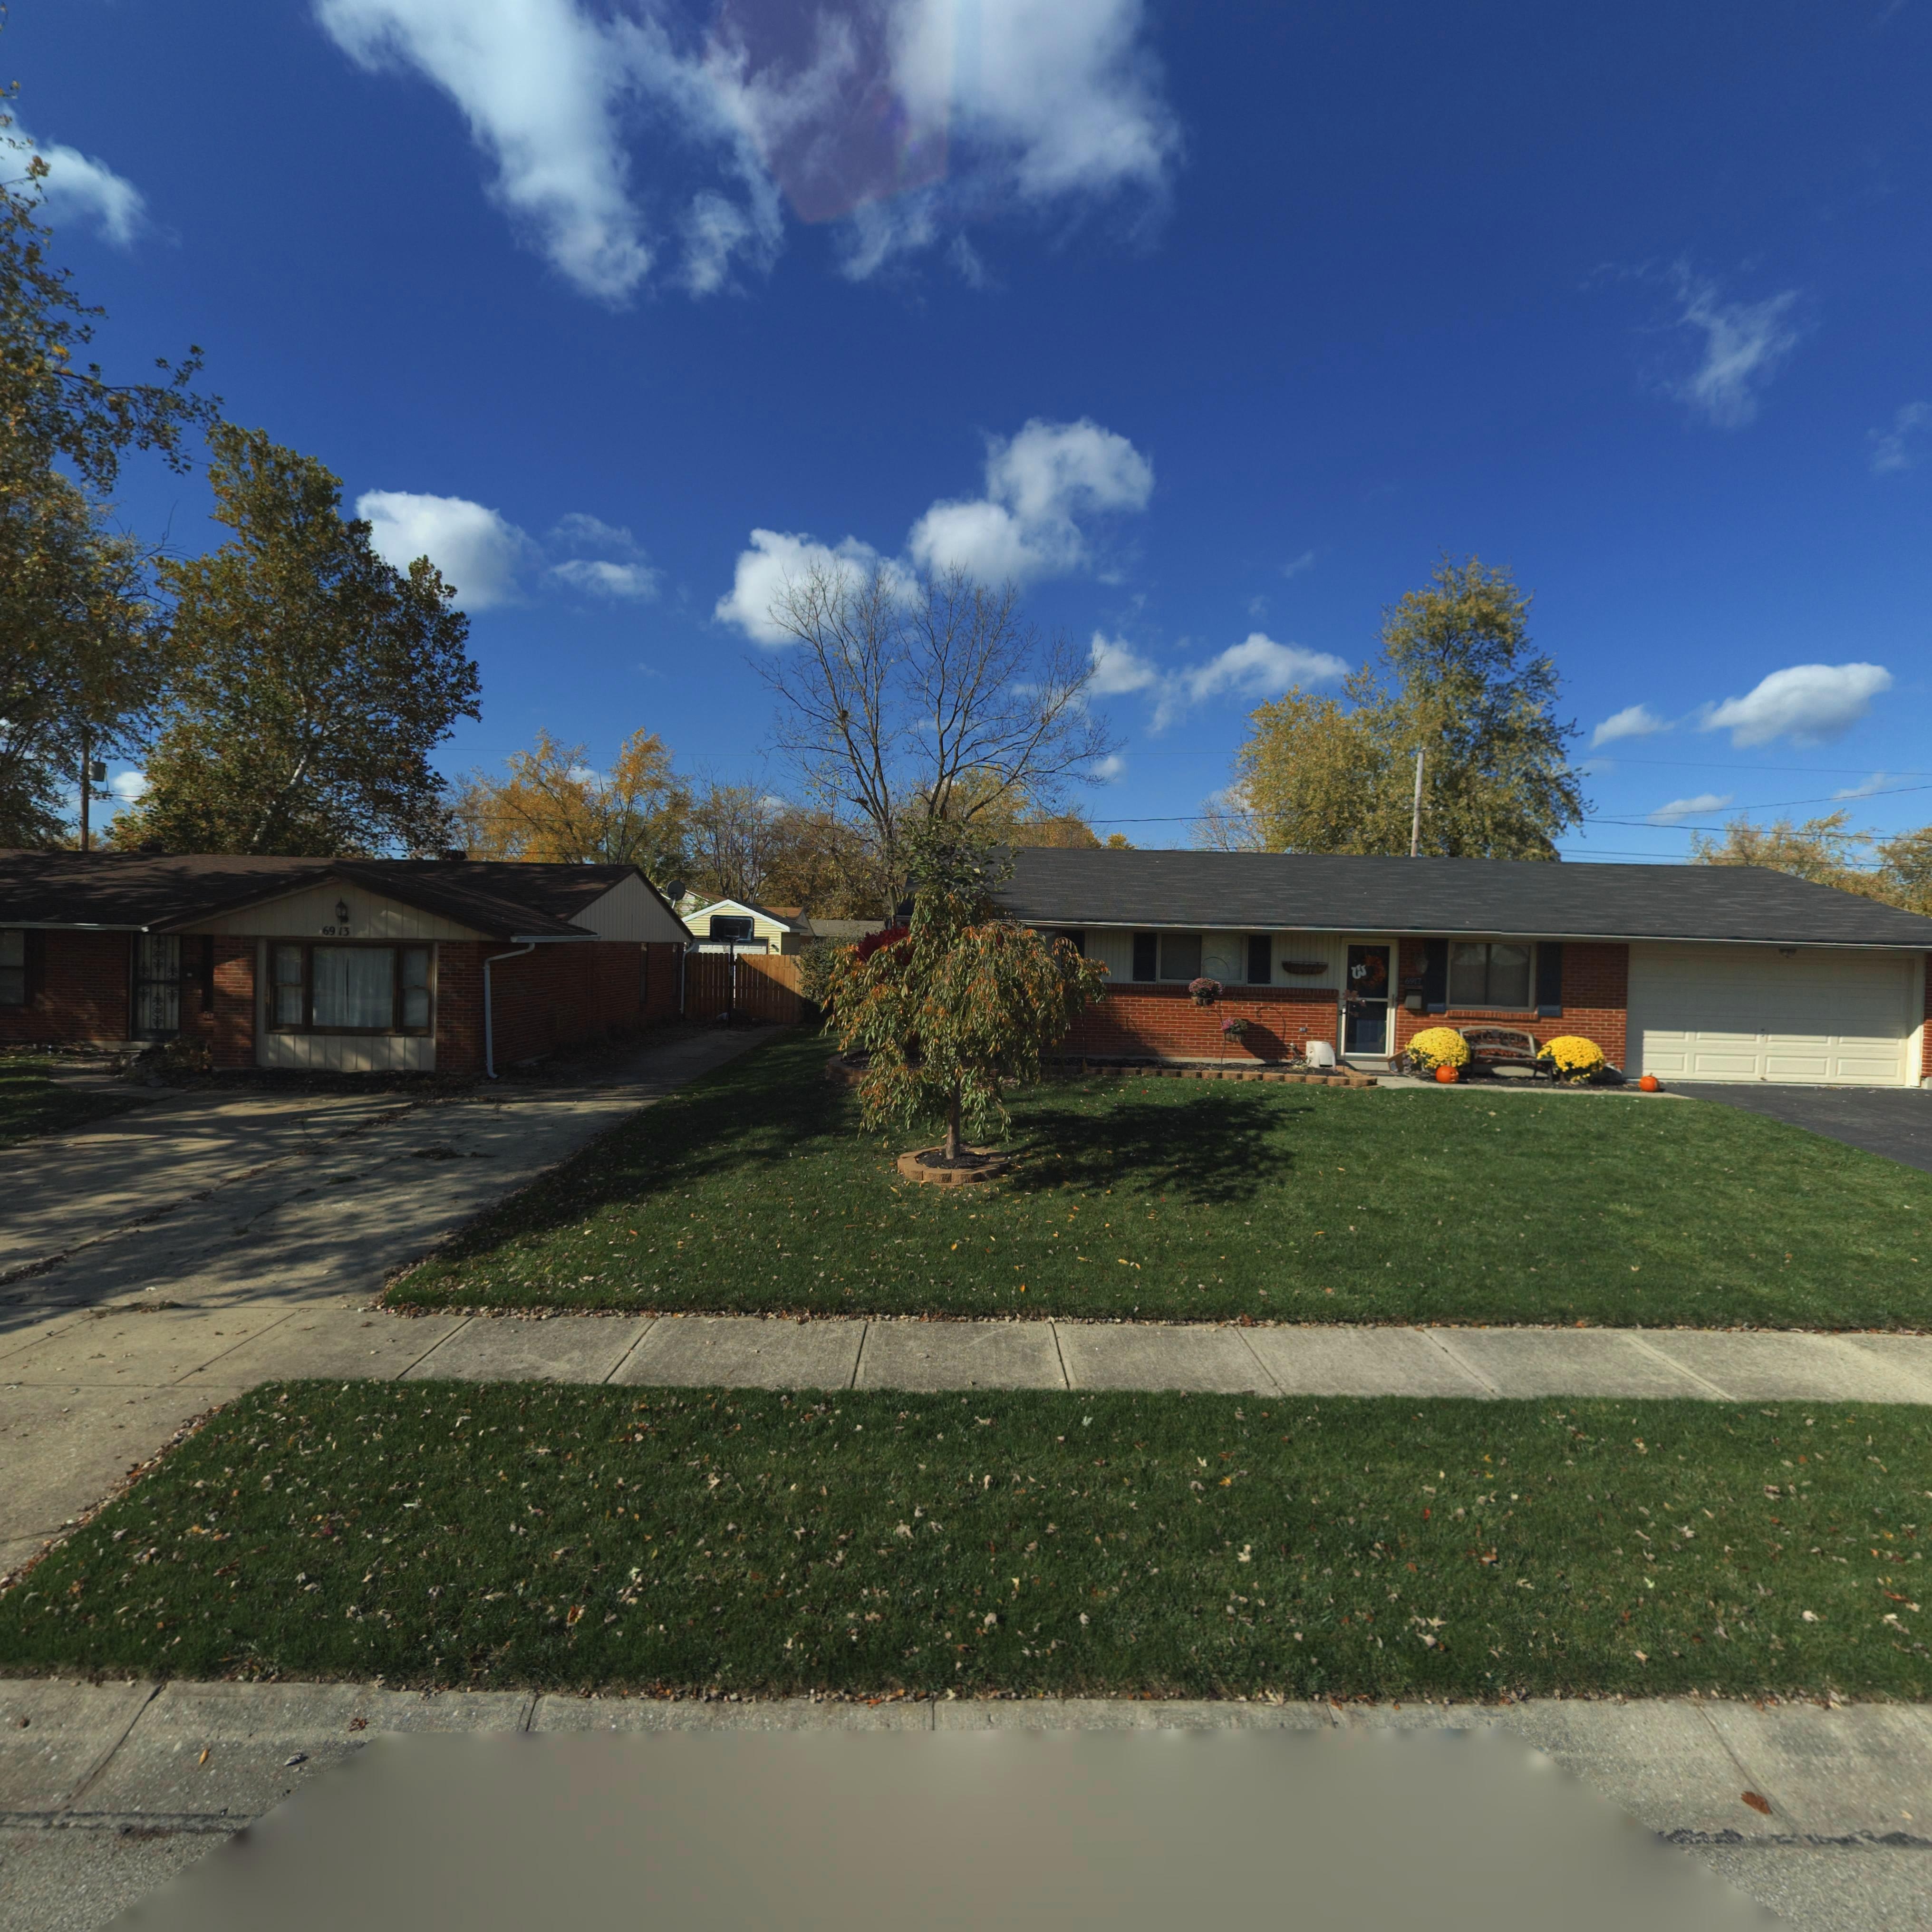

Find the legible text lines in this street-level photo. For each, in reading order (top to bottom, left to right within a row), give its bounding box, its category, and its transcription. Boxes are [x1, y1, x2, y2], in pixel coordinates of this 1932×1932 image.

[321, 925, 351, 937] StreetNumber: 6913
[1404, 977, 1423, 986] StreetNumber: 6917